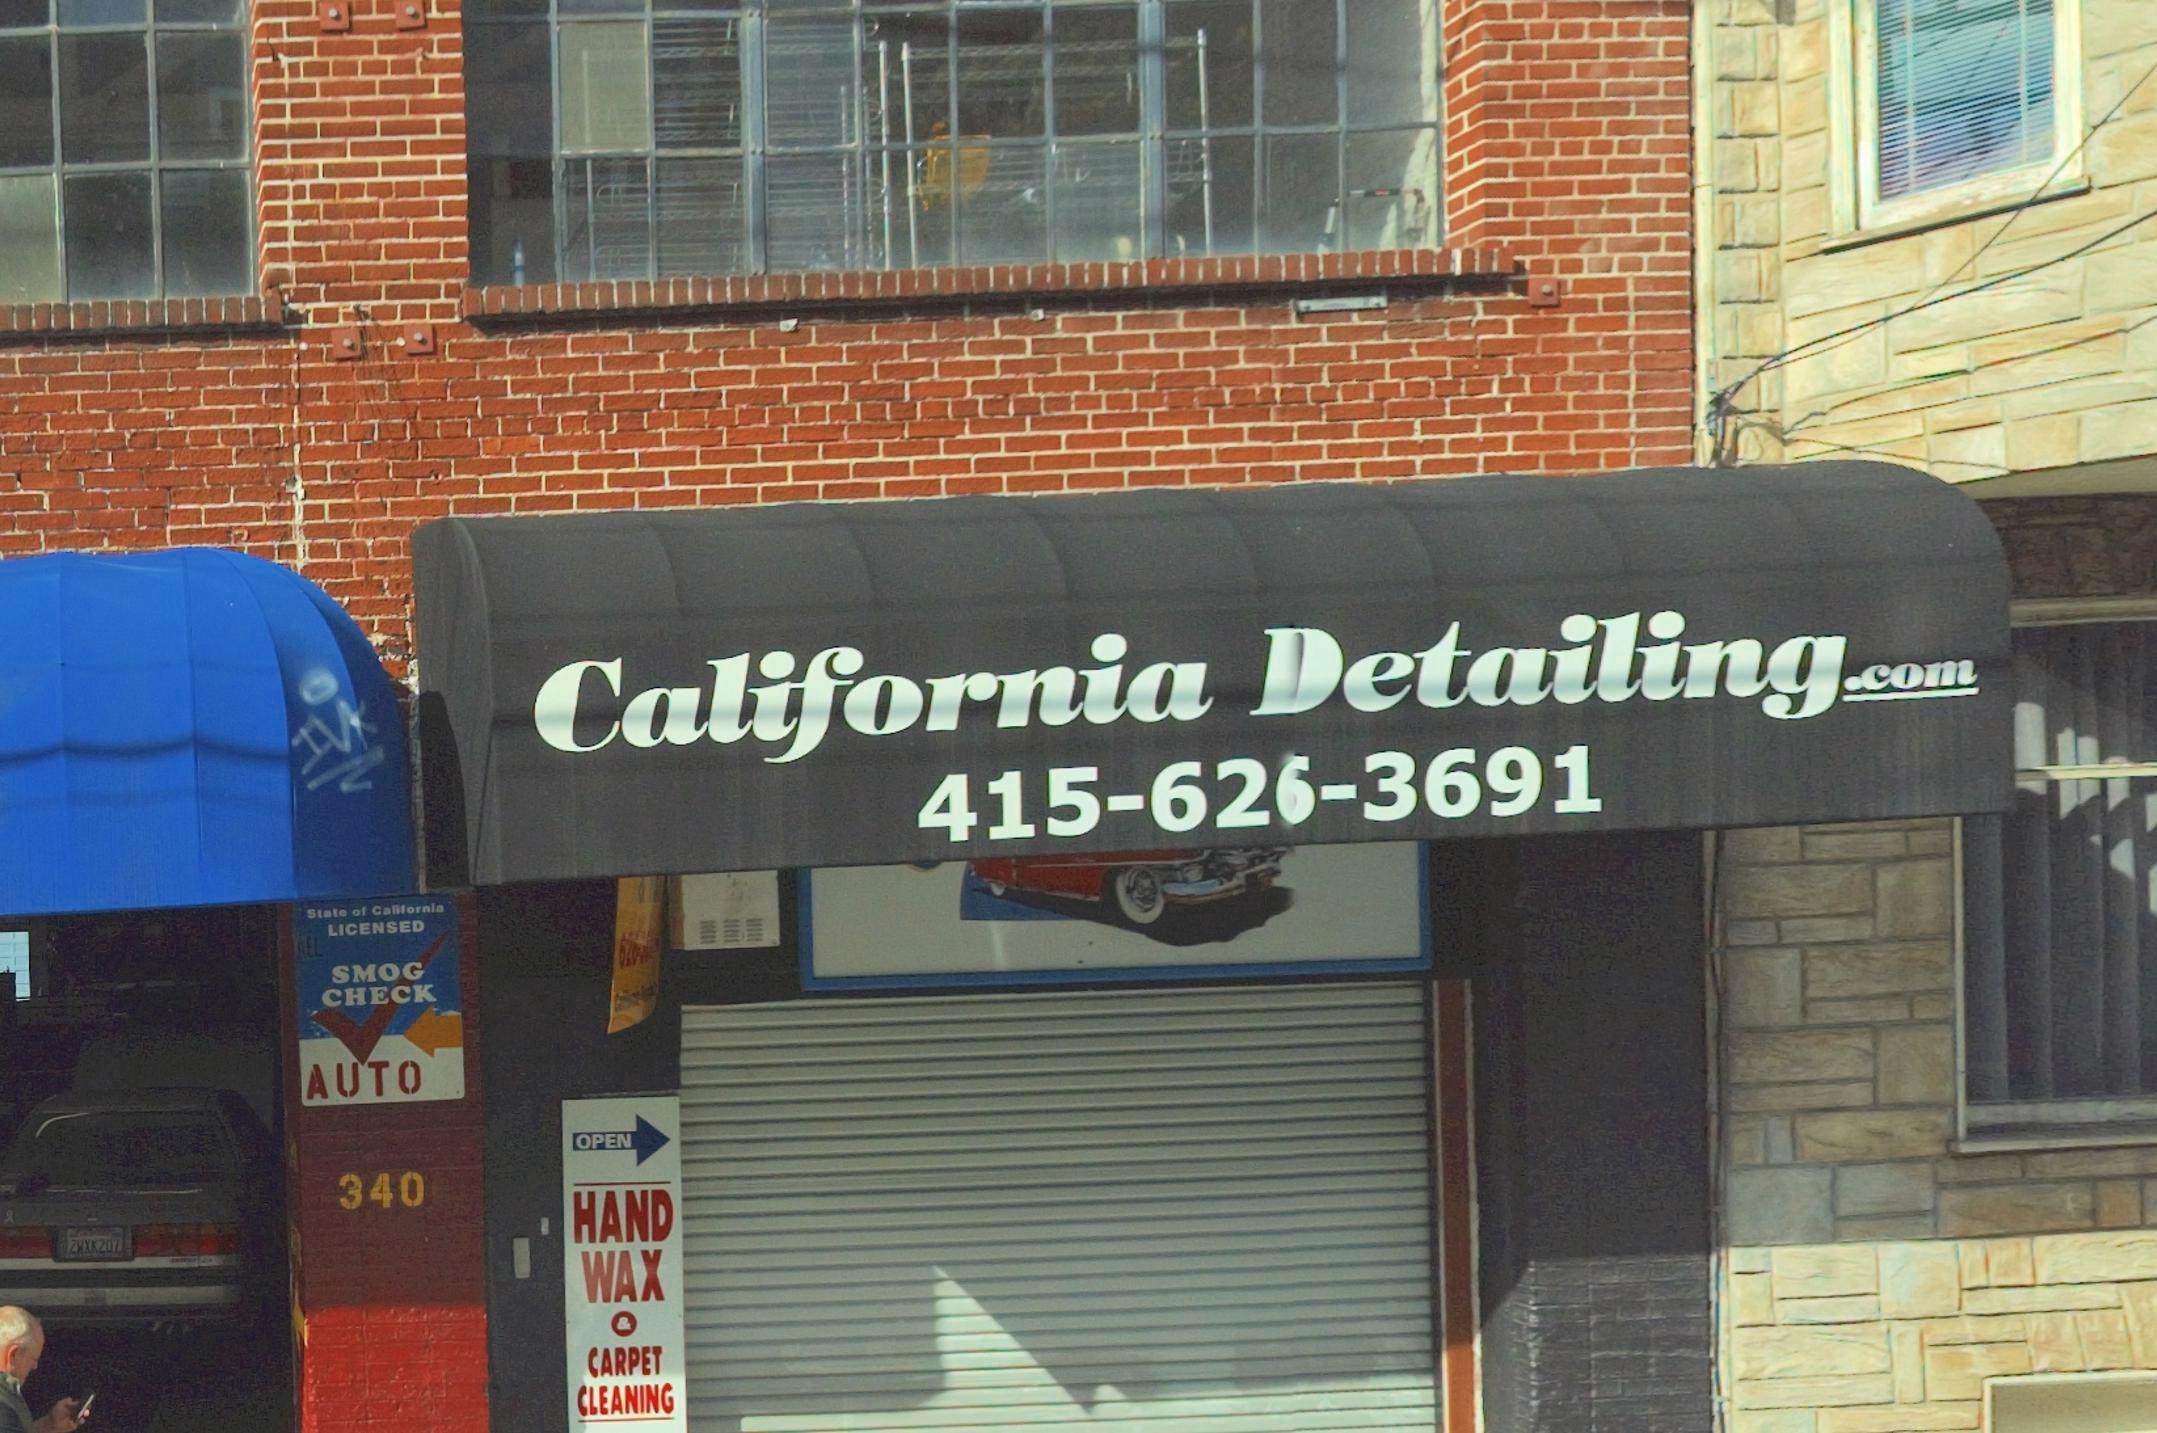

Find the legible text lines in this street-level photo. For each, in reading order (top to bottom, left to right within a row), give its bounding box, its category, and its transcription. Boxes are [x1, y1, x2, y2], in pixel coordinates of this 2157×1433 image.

[524, 603, 1860, 771] BusinessName: California Detailing
[1853, 653, 1985, 698] None: com
[280, 695, 384, 781] None: IVK
[911, 738, 1610, 848] None: 415-62*-3691
[293, 933, 328, 964] None: ALL
[305, 900, 448, 921] None: State of California
[325, 917, 428, 940] None: LICENSED
[329, 958, 428, 988] None: SMOG
[318, 980, 442, 1010] None: CHECK
[616, 928, 635, 973] None: 62
[303, 1057, 425, 1102] None: AUTO
[572, 1129, 636, 1153] None: OPEN
[335, 1167, 428, 1213] StreetNumber: 340
[570, 1185, 677, 1246] None: HAND
[66, 1236, 122, 1255] None: *WXK207
[576, 1246, 669, 1307] None: WAX
[584, 1342, 665, 1381] None: CARPET
[574, 1378, 677, 1421] None: CLEANING